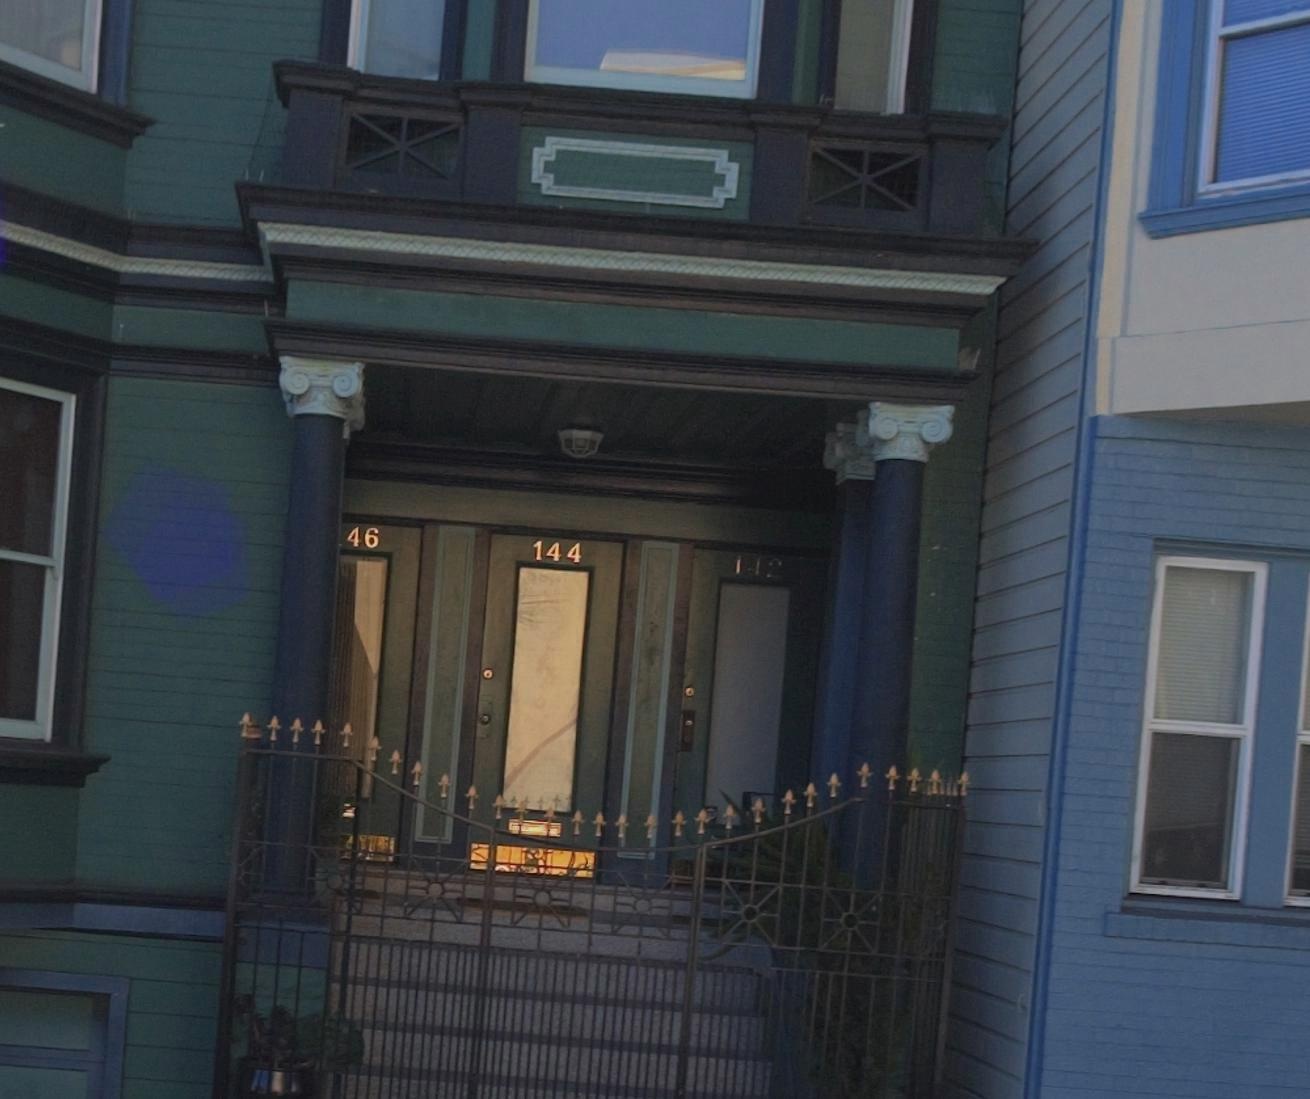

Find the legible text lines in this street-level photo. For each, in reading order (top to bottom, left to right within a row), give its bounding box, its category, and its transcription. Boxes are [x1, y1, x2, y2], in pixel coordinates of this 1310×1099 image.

[344, 524, 381, 549] StreetNumber: 46
[532, 538, 584, 565] StreetNumber: 144
[730, 552, 785, 581] StreetNumber: 142